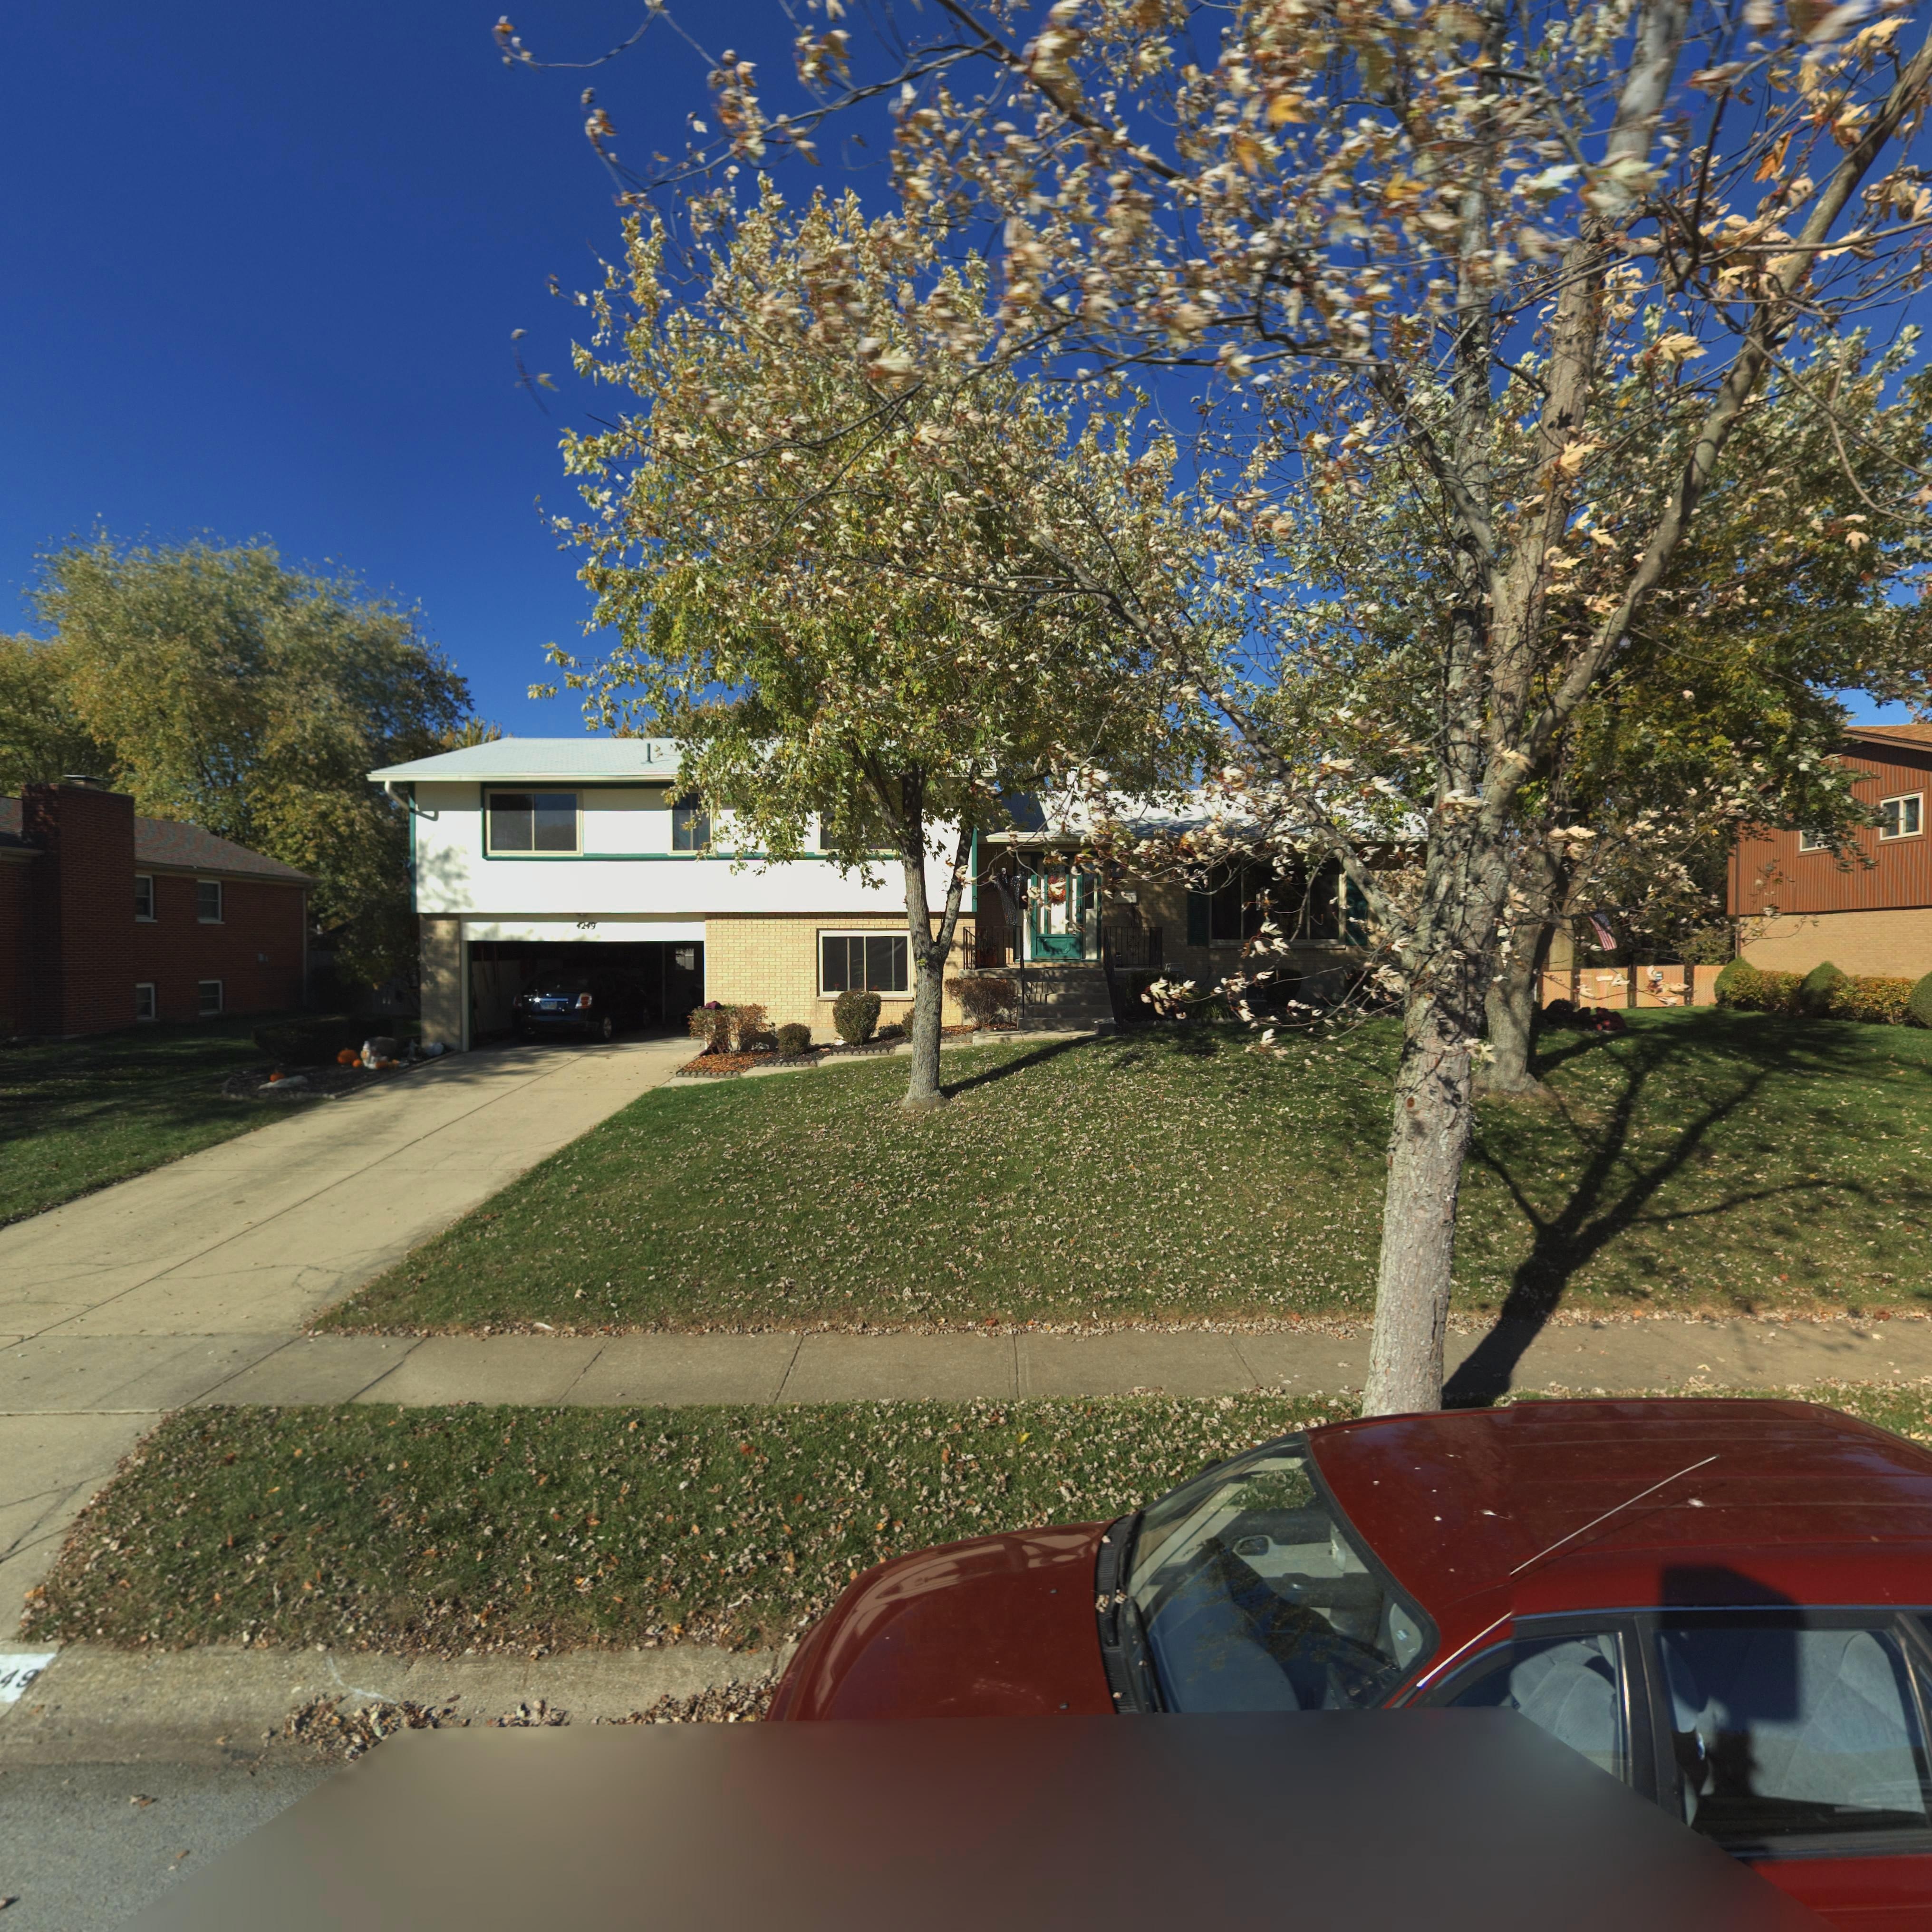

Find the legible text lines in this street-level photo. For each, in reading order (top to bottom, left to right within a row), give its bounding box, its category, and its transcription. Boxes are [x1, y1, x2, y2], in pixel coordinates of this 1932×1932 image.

[575, 920, 597, 931] StreetNumber: 4249
[0, 1667, 42, 1691] StreetNumber: 49